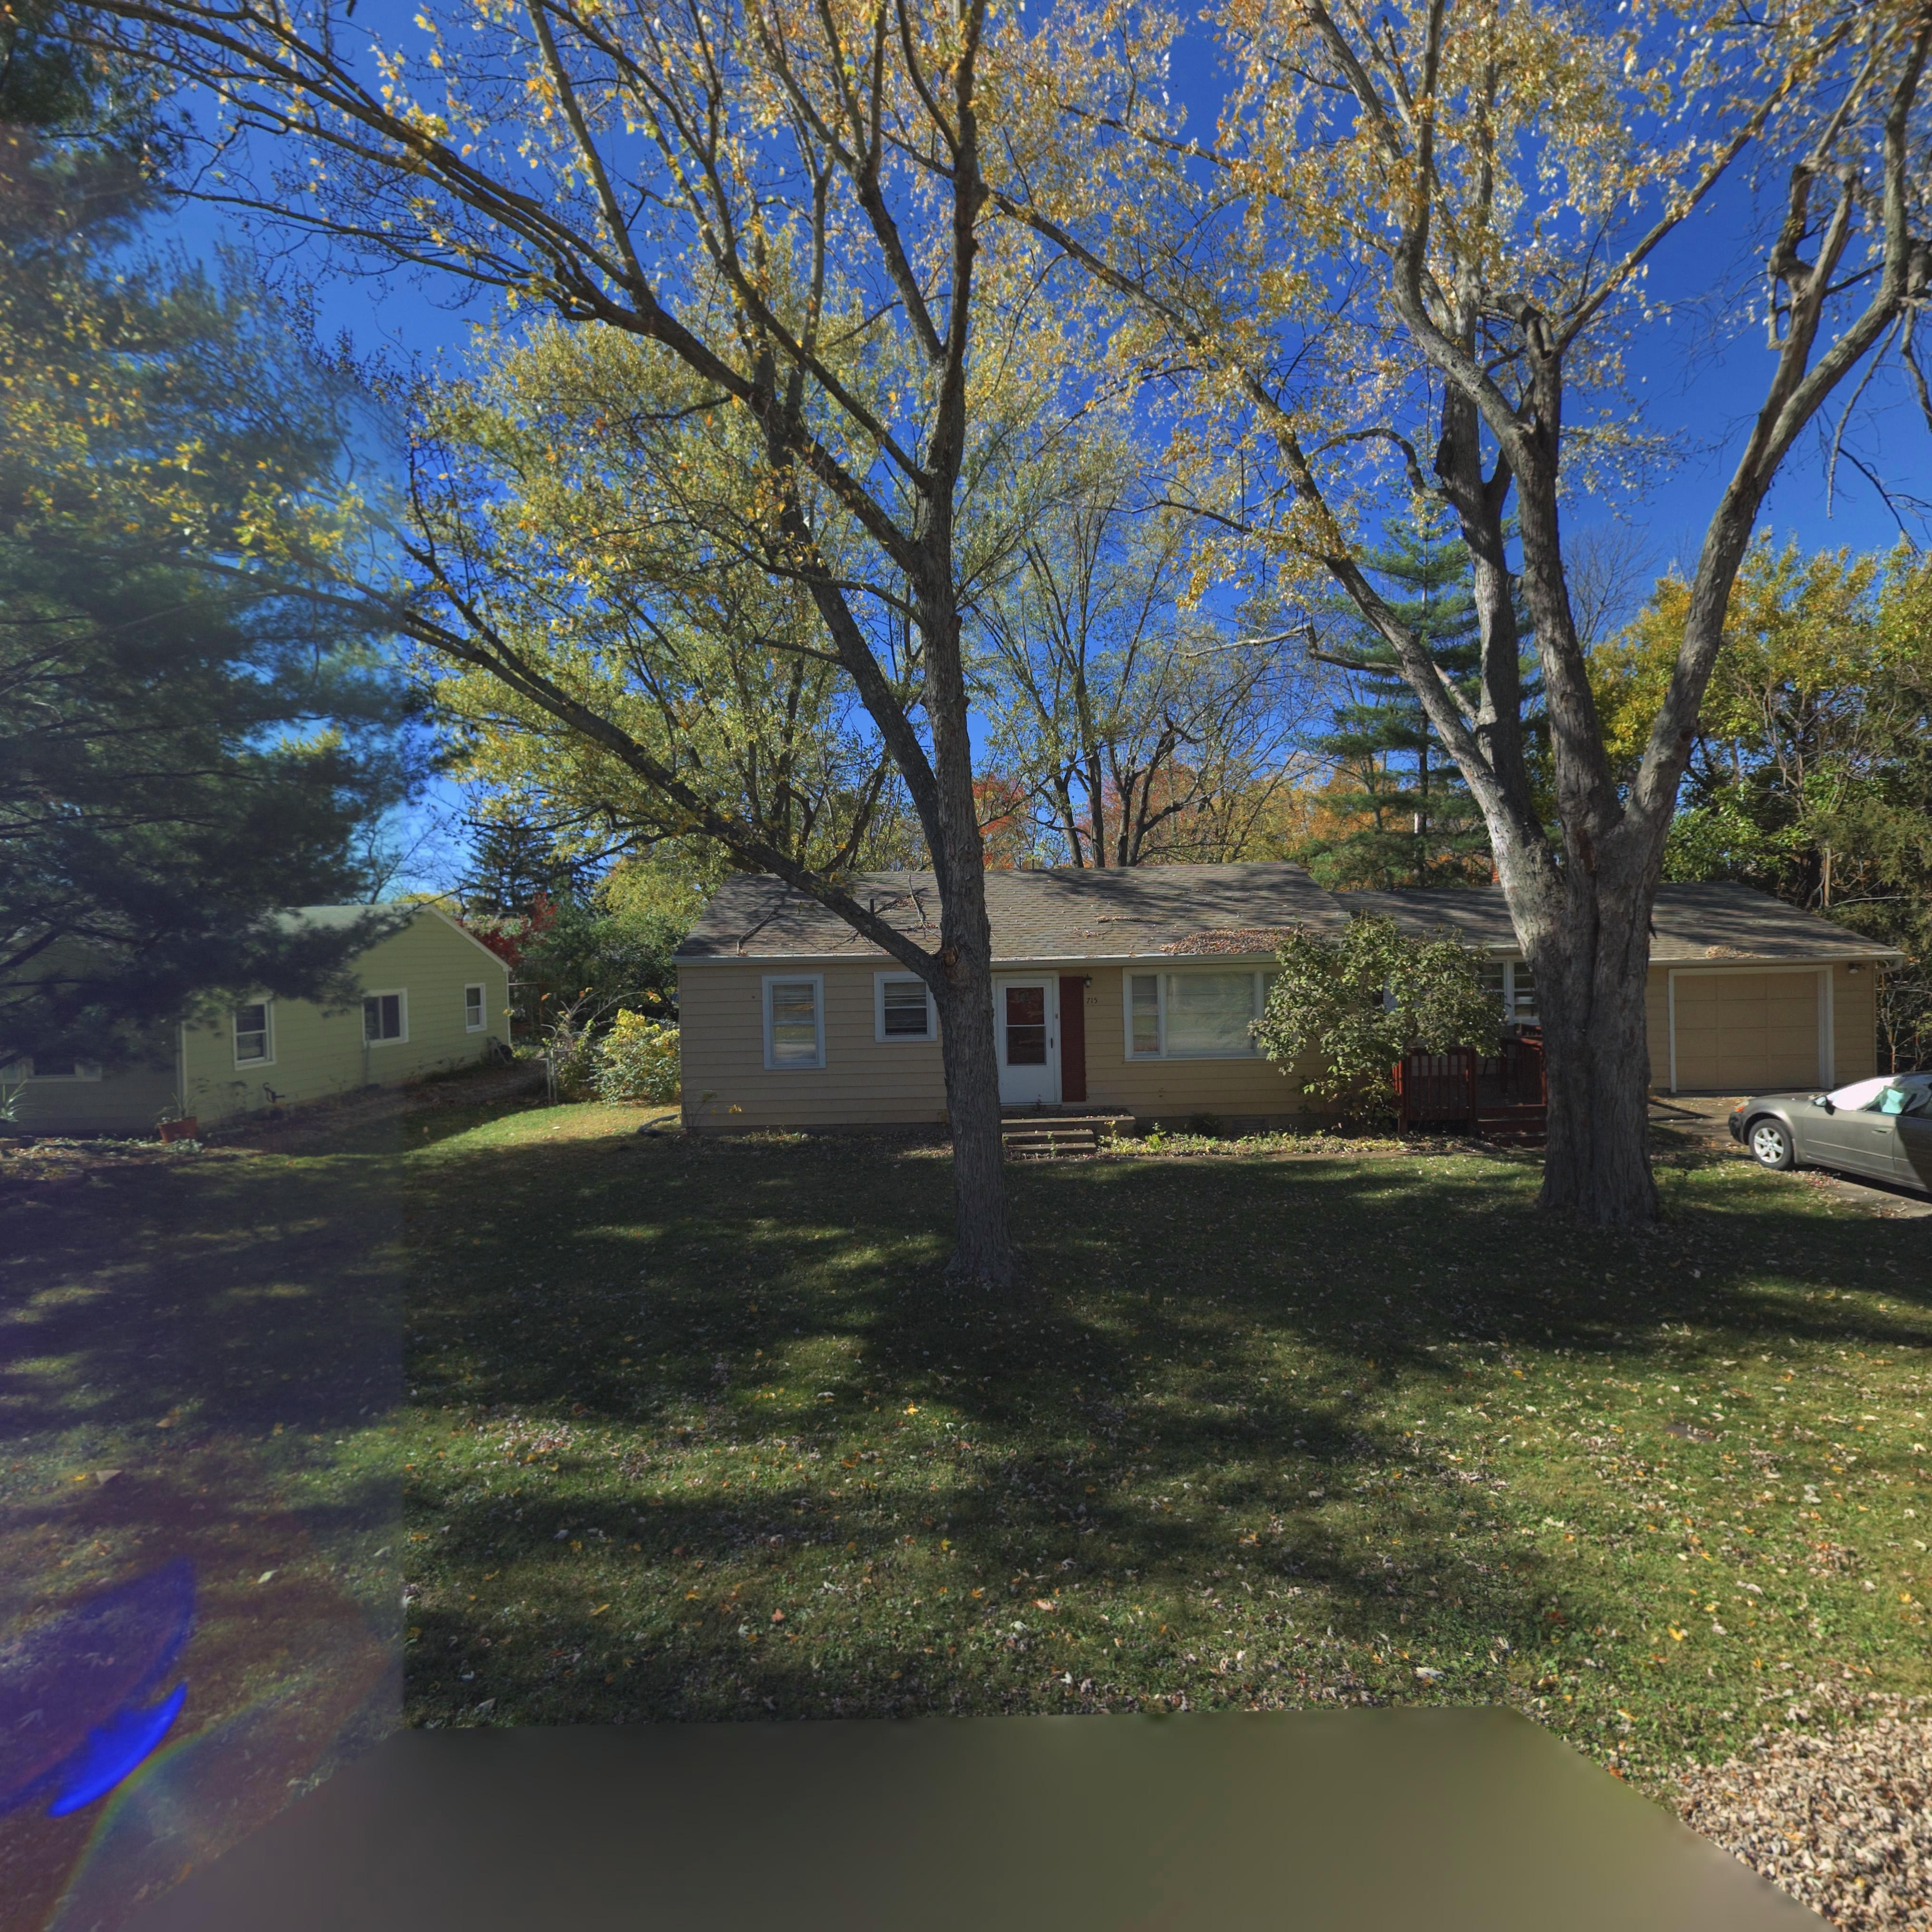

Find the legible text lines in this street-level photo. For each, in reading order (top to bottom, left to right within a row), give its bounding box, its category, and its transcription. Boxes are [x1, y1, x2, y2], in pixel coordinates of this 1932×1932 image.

[1086, 997, 1098, 1004] StreetNumber: 715